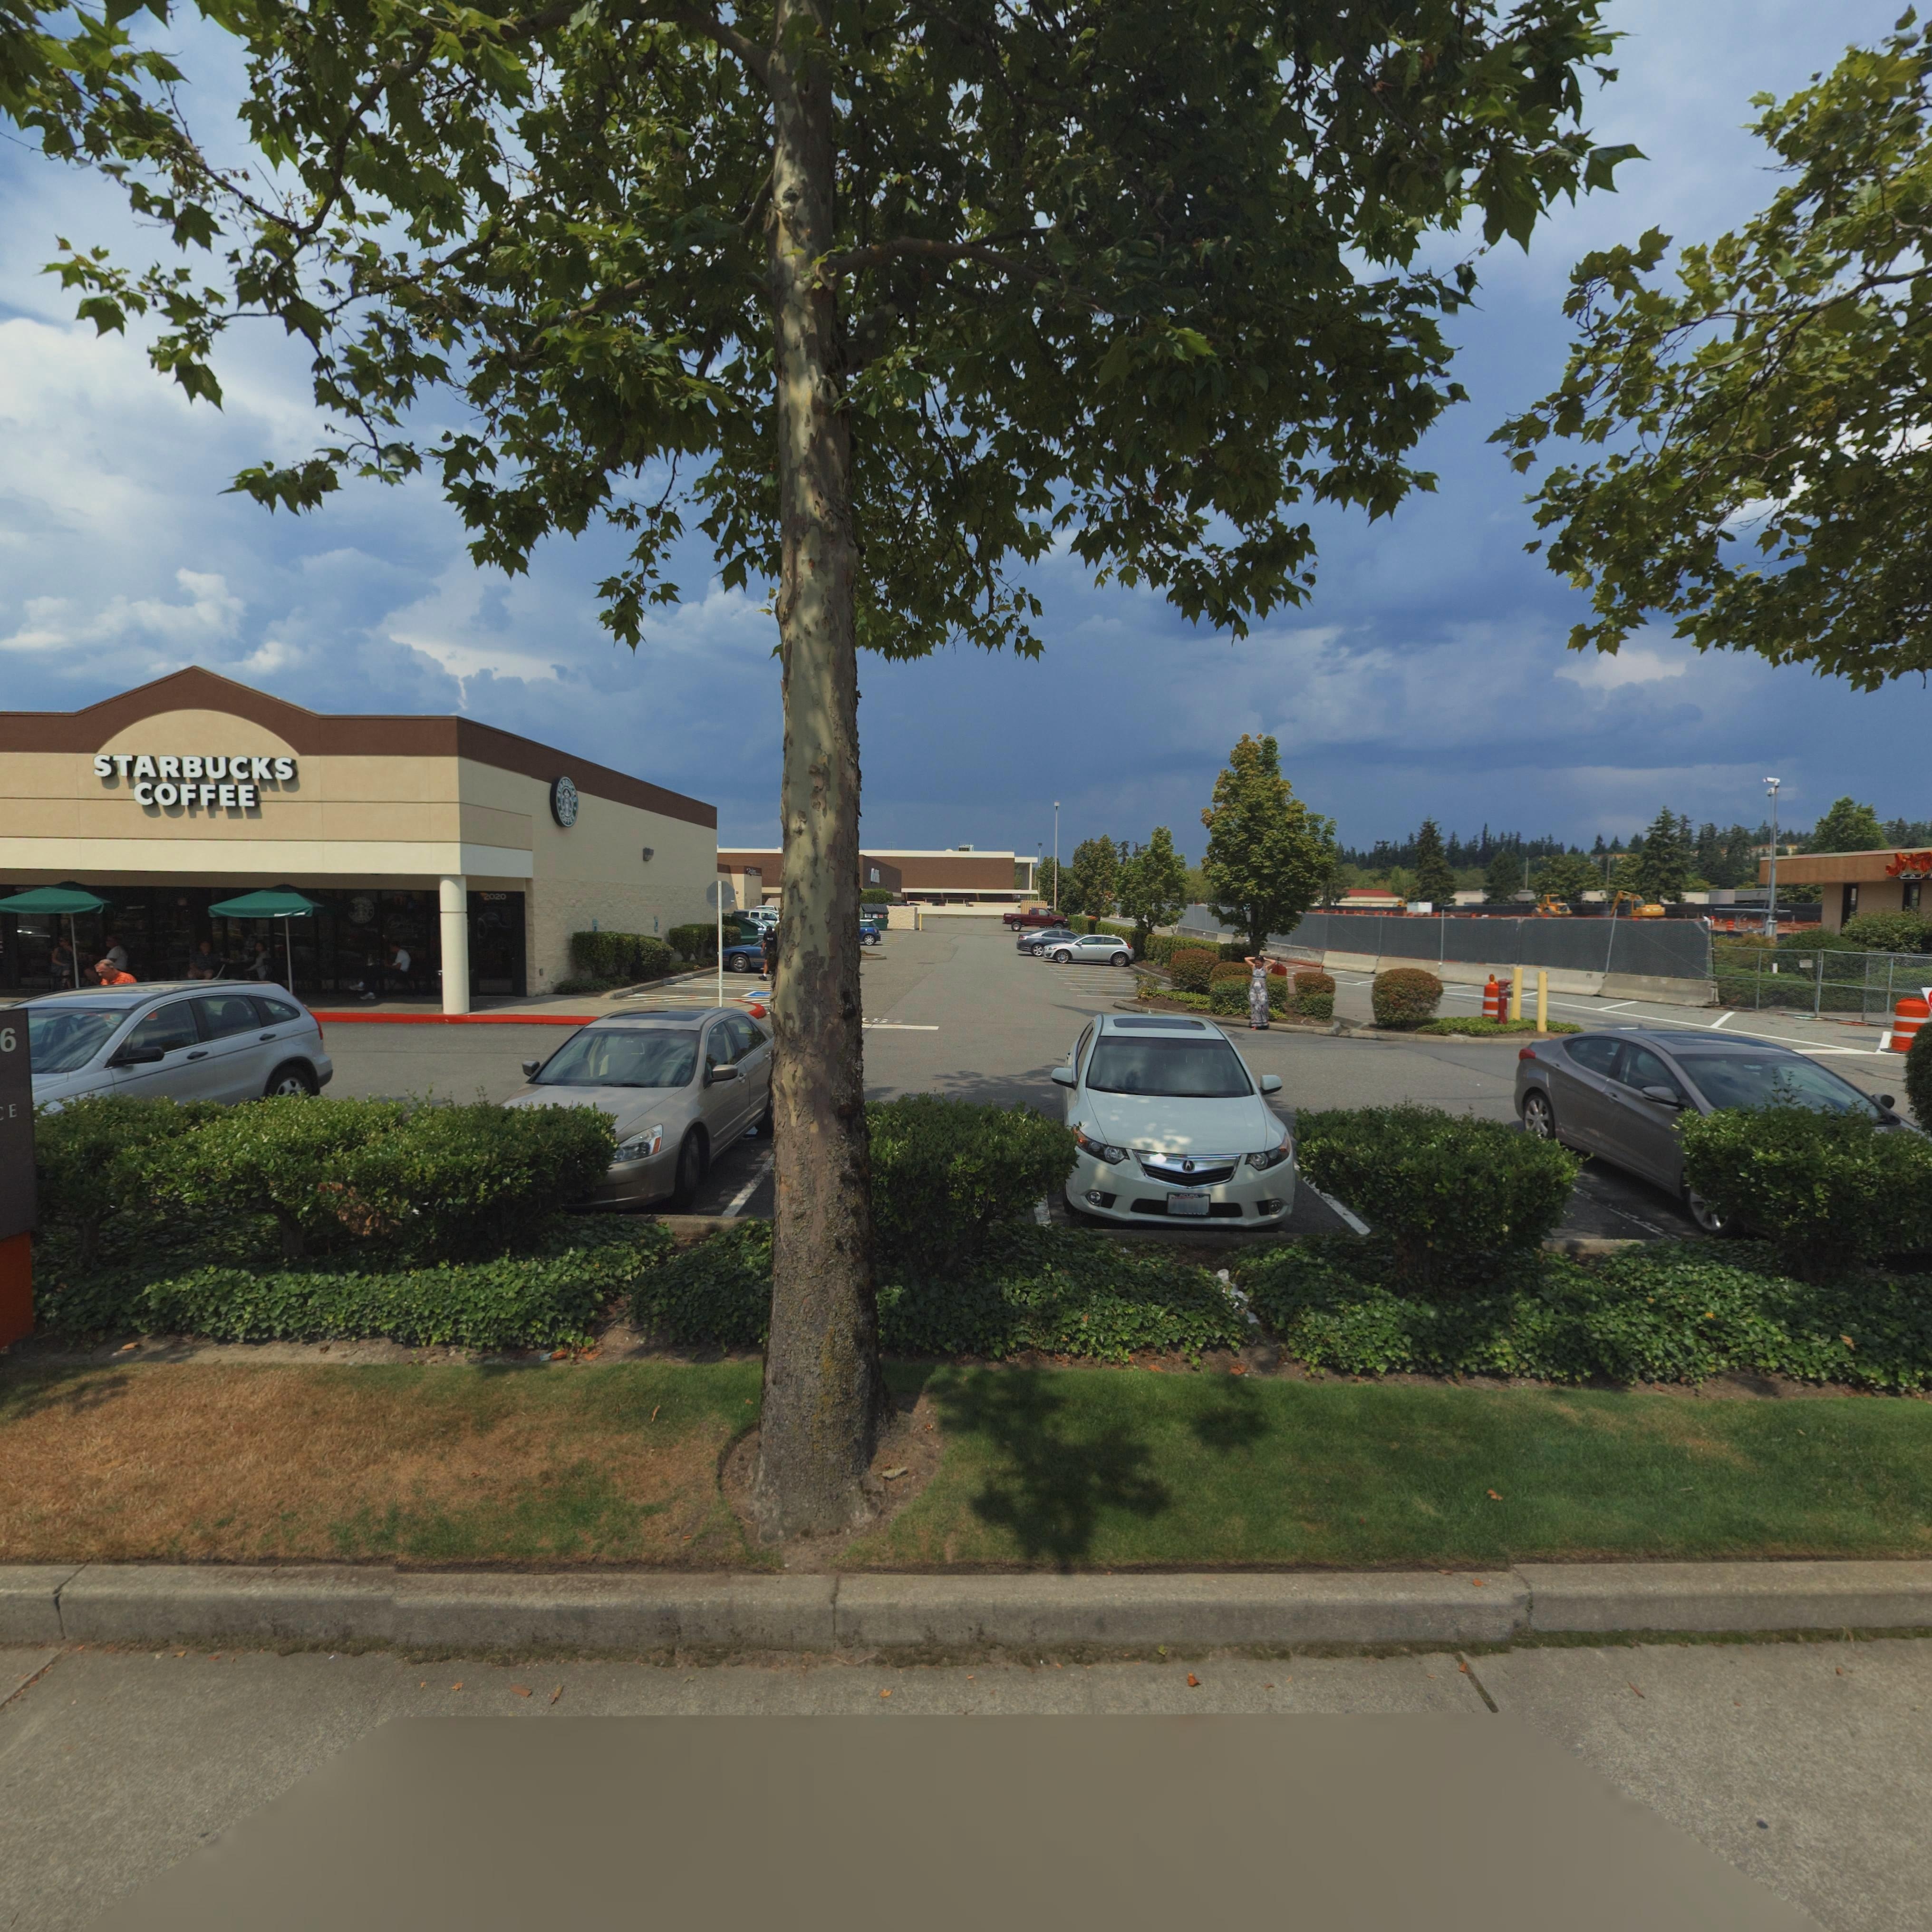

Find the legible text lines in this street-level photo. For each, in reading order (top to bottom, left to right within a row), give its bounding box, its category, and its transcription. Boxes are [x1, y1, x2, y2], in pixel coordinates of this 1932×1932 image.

[93, 753, 293, 781] BusinessName: STARBUCKS
[134, 782, 255, 808] BusinessName: COFFEE